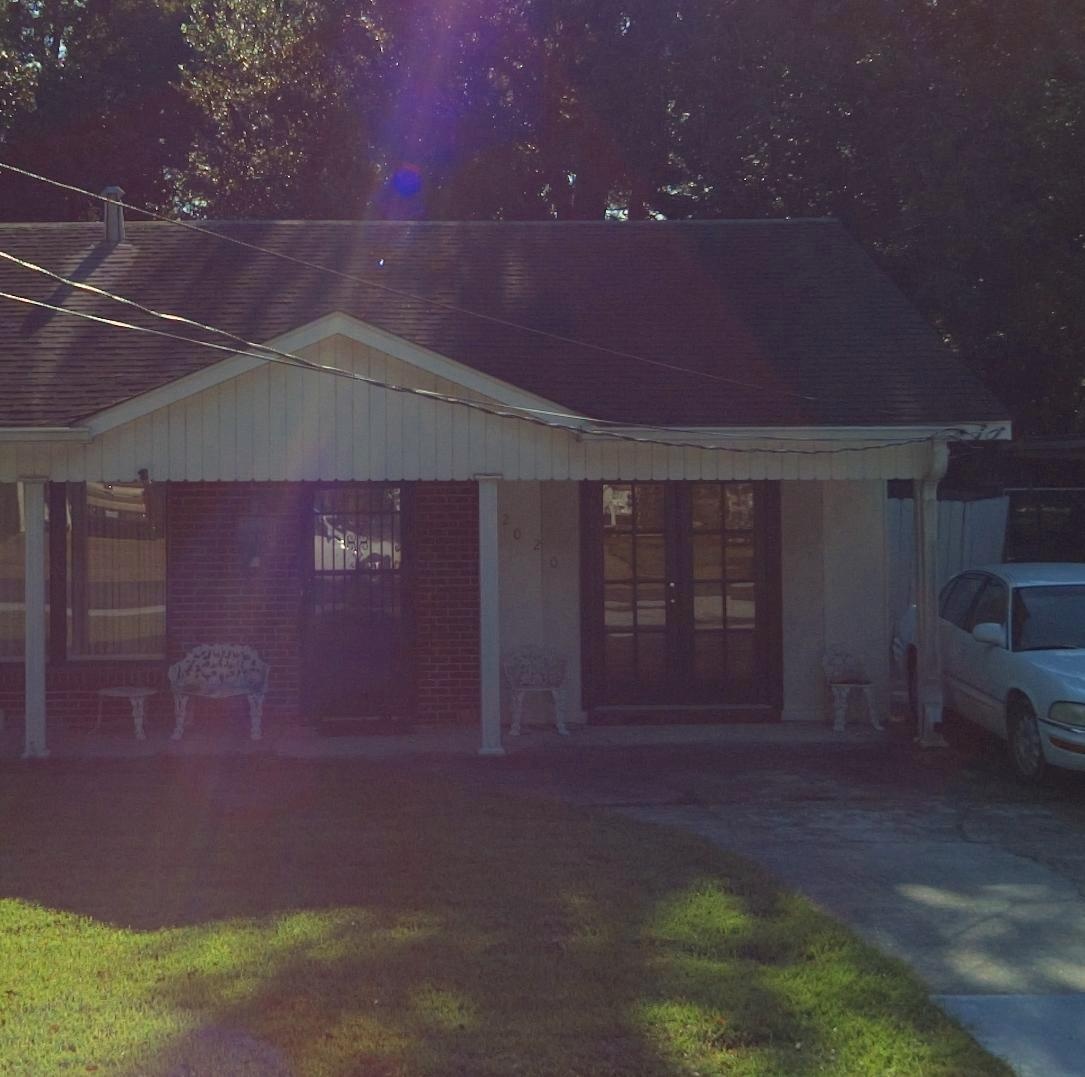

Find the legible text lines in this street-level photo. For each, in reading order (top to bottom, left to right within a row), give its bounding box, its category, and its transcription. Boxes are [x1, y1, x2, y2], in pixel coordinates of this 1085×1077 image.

[499, 511, 567, 572] StreetNumber: 2020